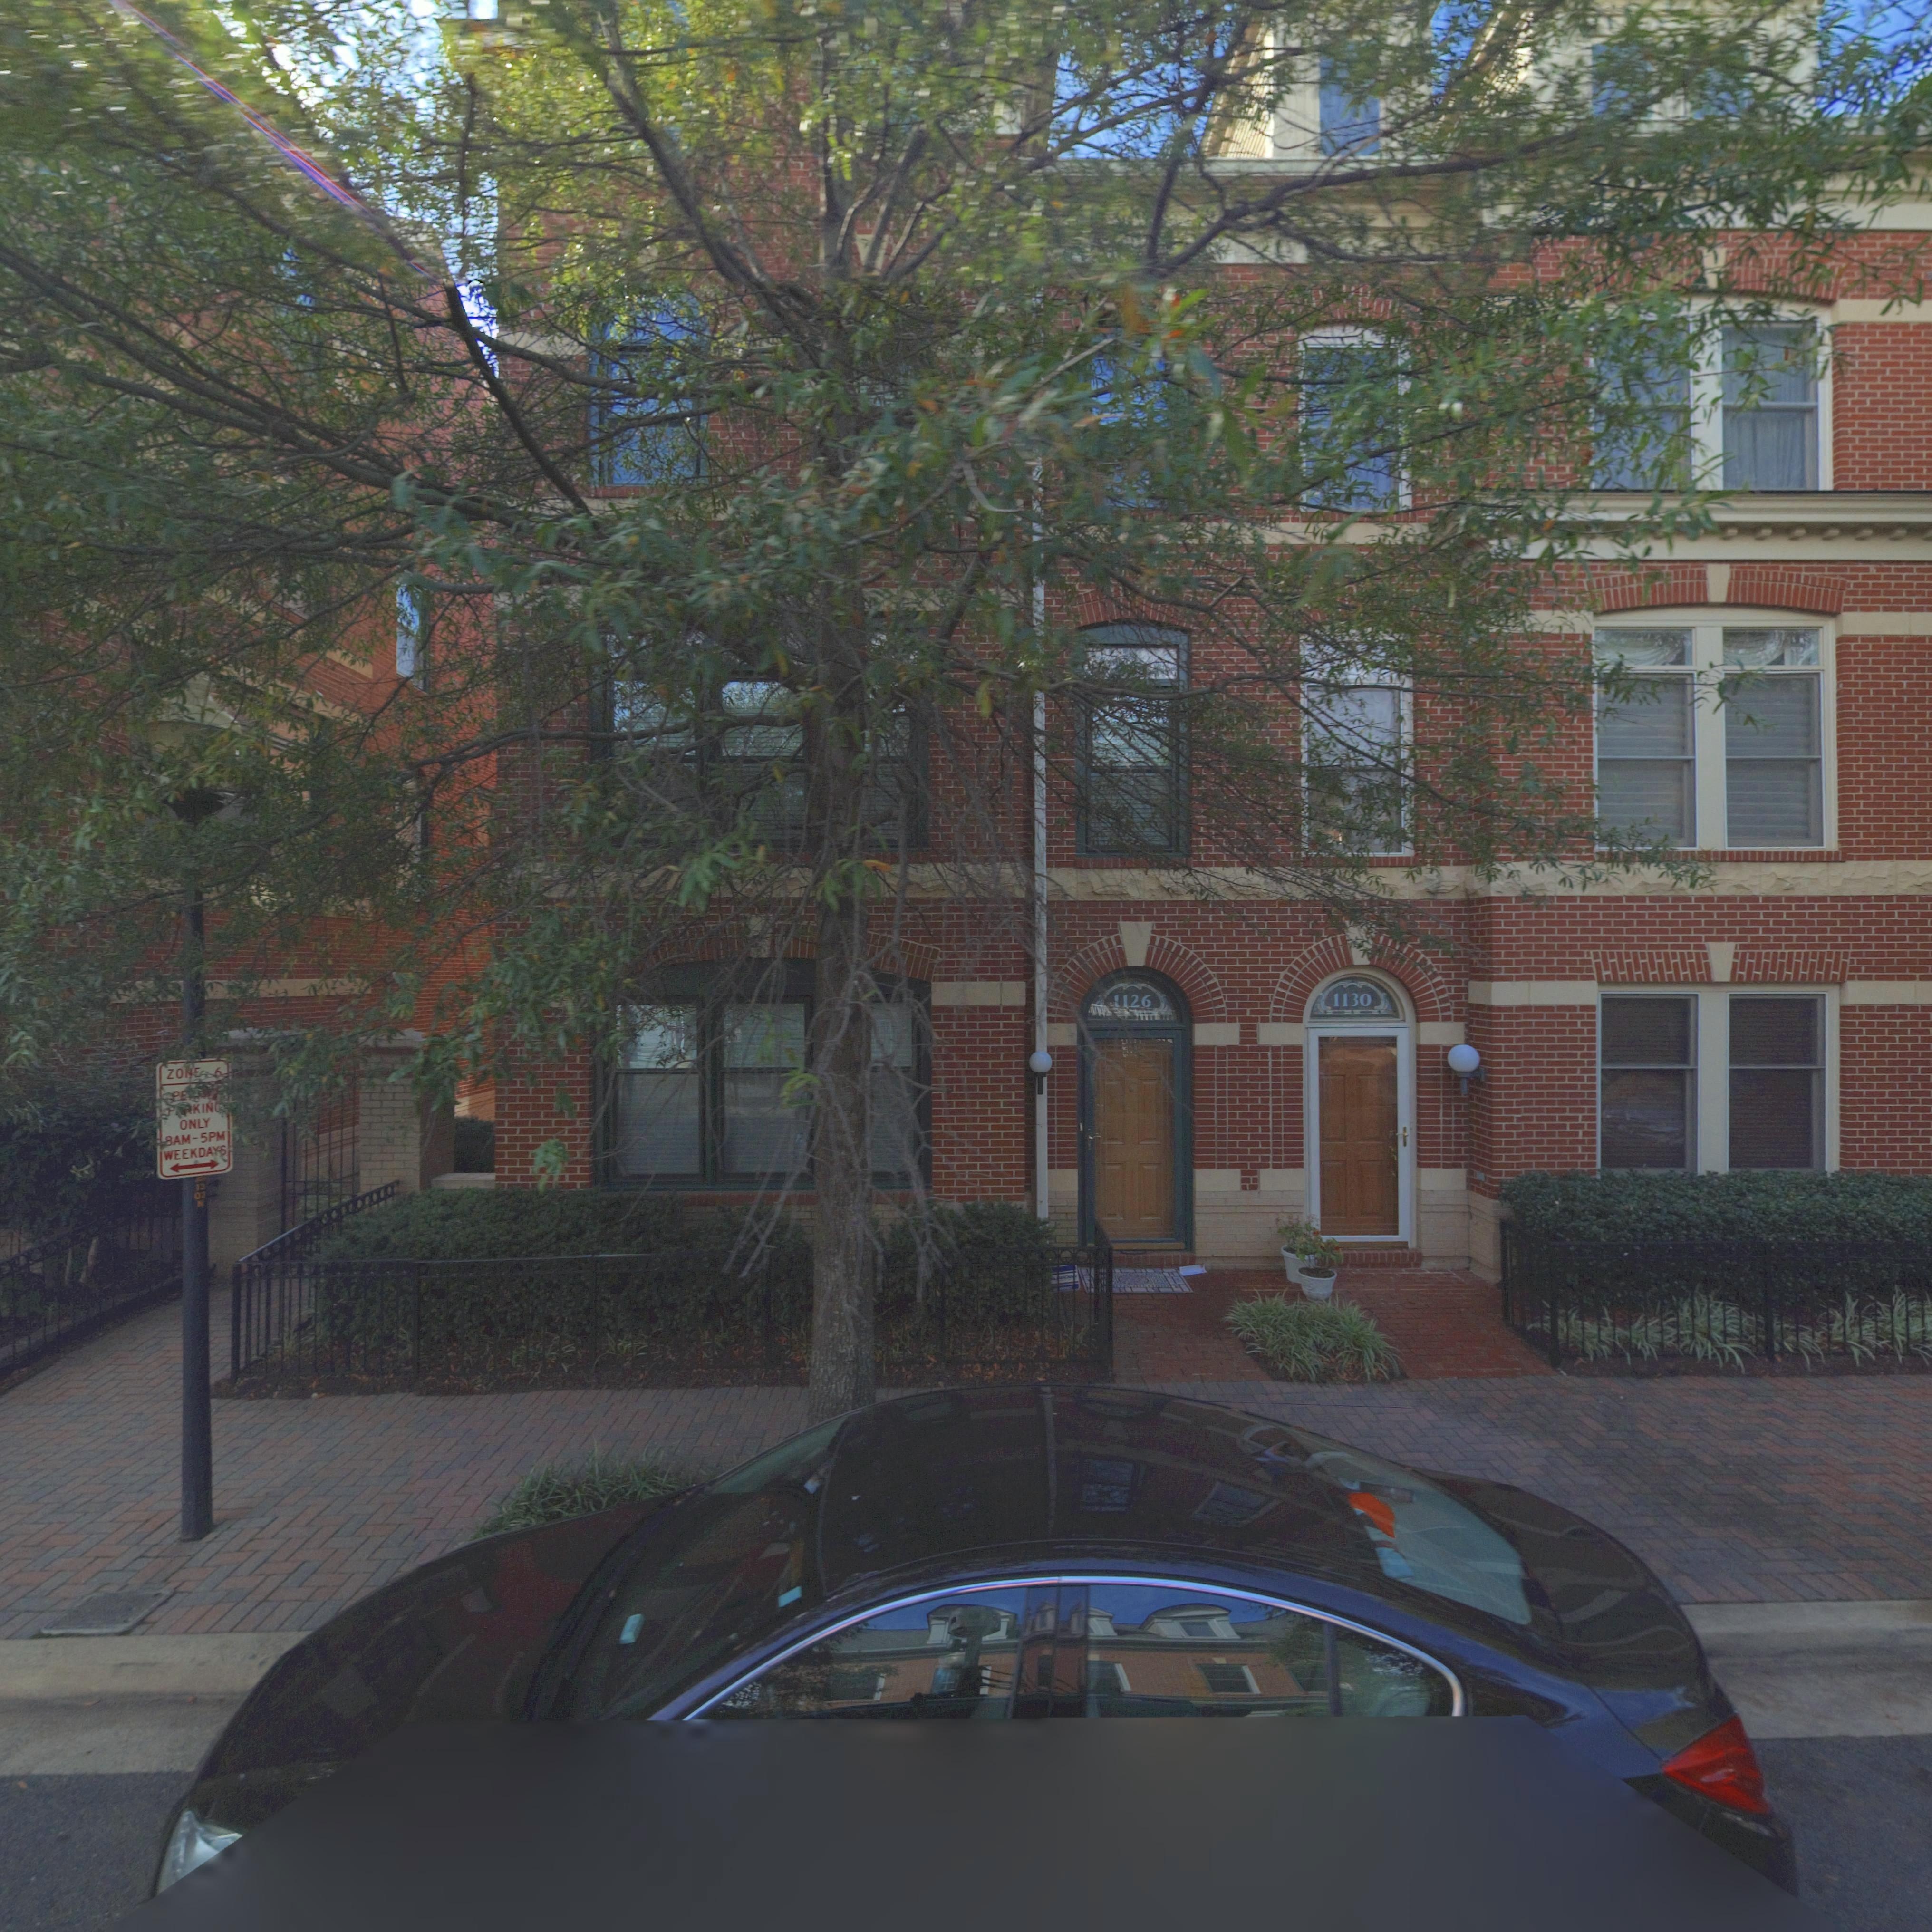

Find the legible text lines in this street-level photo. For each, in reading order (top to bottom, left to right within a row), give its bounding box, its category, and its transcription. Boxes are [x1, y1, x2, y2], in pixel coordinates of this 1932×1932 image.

[1113, 993, 1153, 1009] StreetNumber: 1126
[1332, 992, 1373, 1008] StreetNumber: 1130
[165, 1066, 185, 1081] None: ZO
[192, 1101, 215, 1116] None: KIN
[178, 1115, 212, 1132] None: ONLY
[164, 1129, 227, 1148] None: 8AM-5PM
[162, 1143, 228, 1162] None: WEEKDA**
[195, 1182, 201, 1192] None: 1
[193, 1190, 202, 1201] None: 0